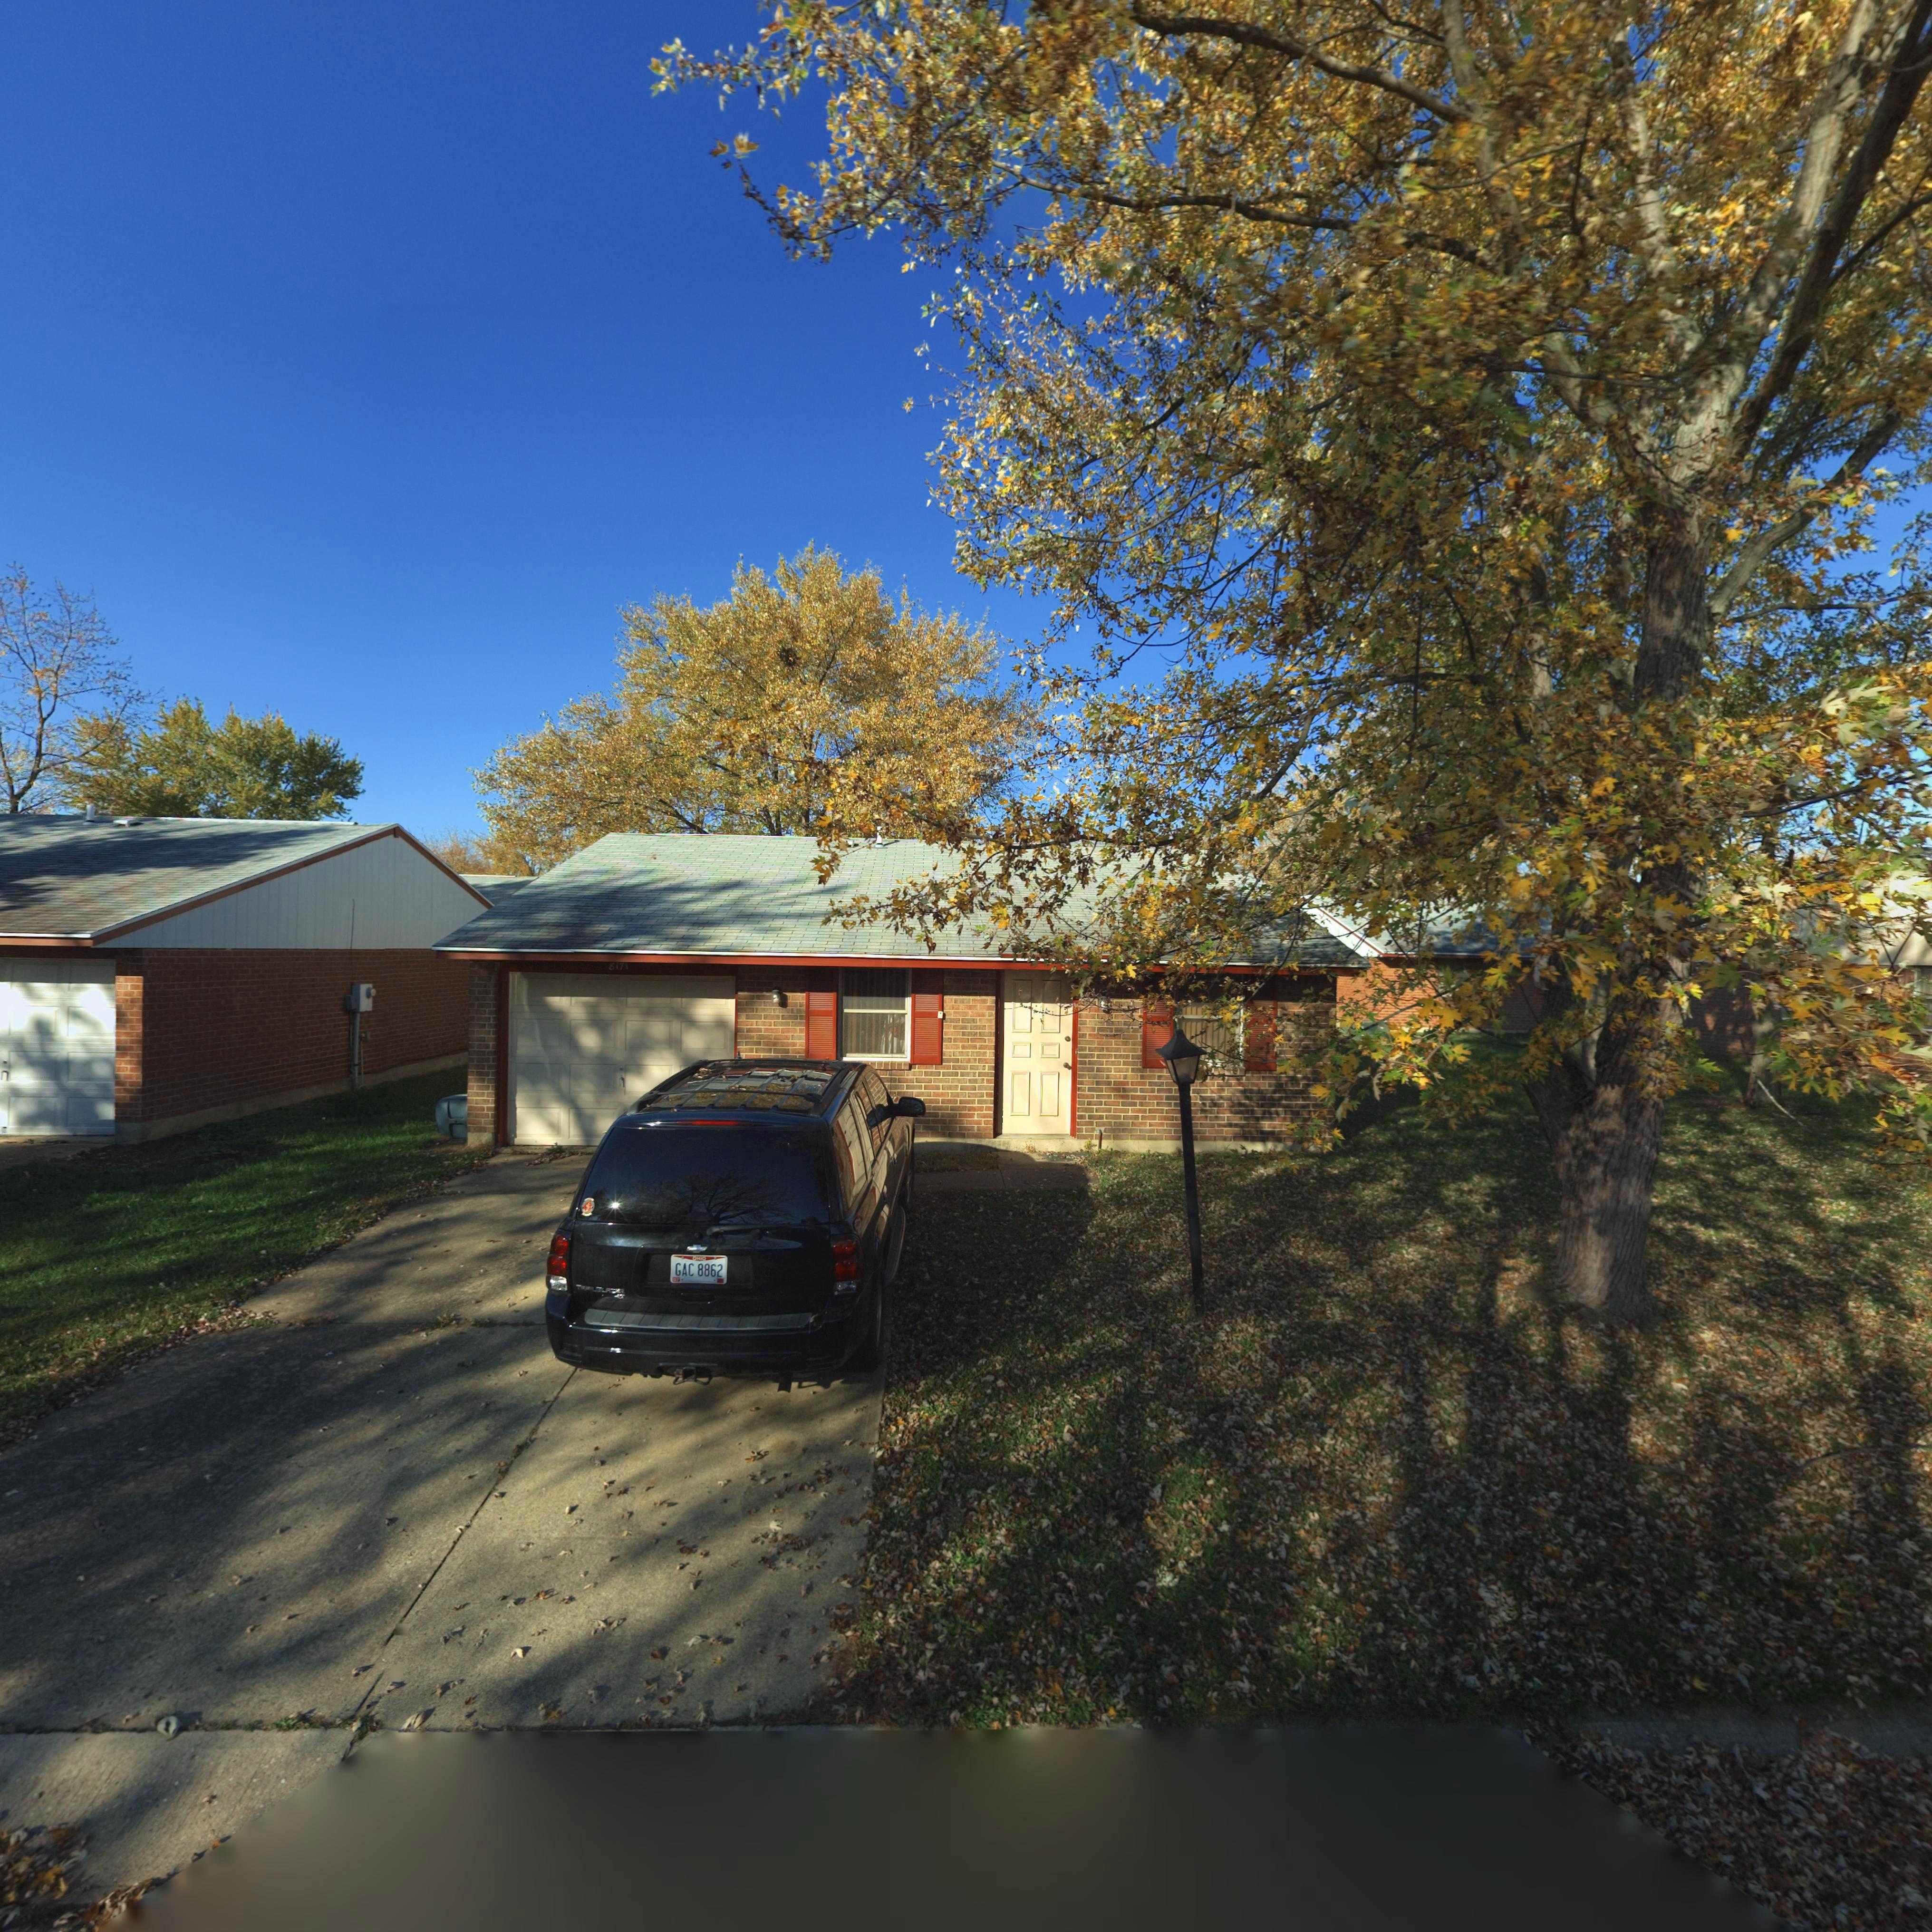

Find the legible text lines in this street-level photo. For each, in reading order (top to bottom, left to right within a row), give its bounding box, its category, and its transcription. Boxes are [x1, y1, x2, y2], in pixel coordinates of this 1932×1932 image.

[608, 962, 629, 971] StreetNumber: 8171